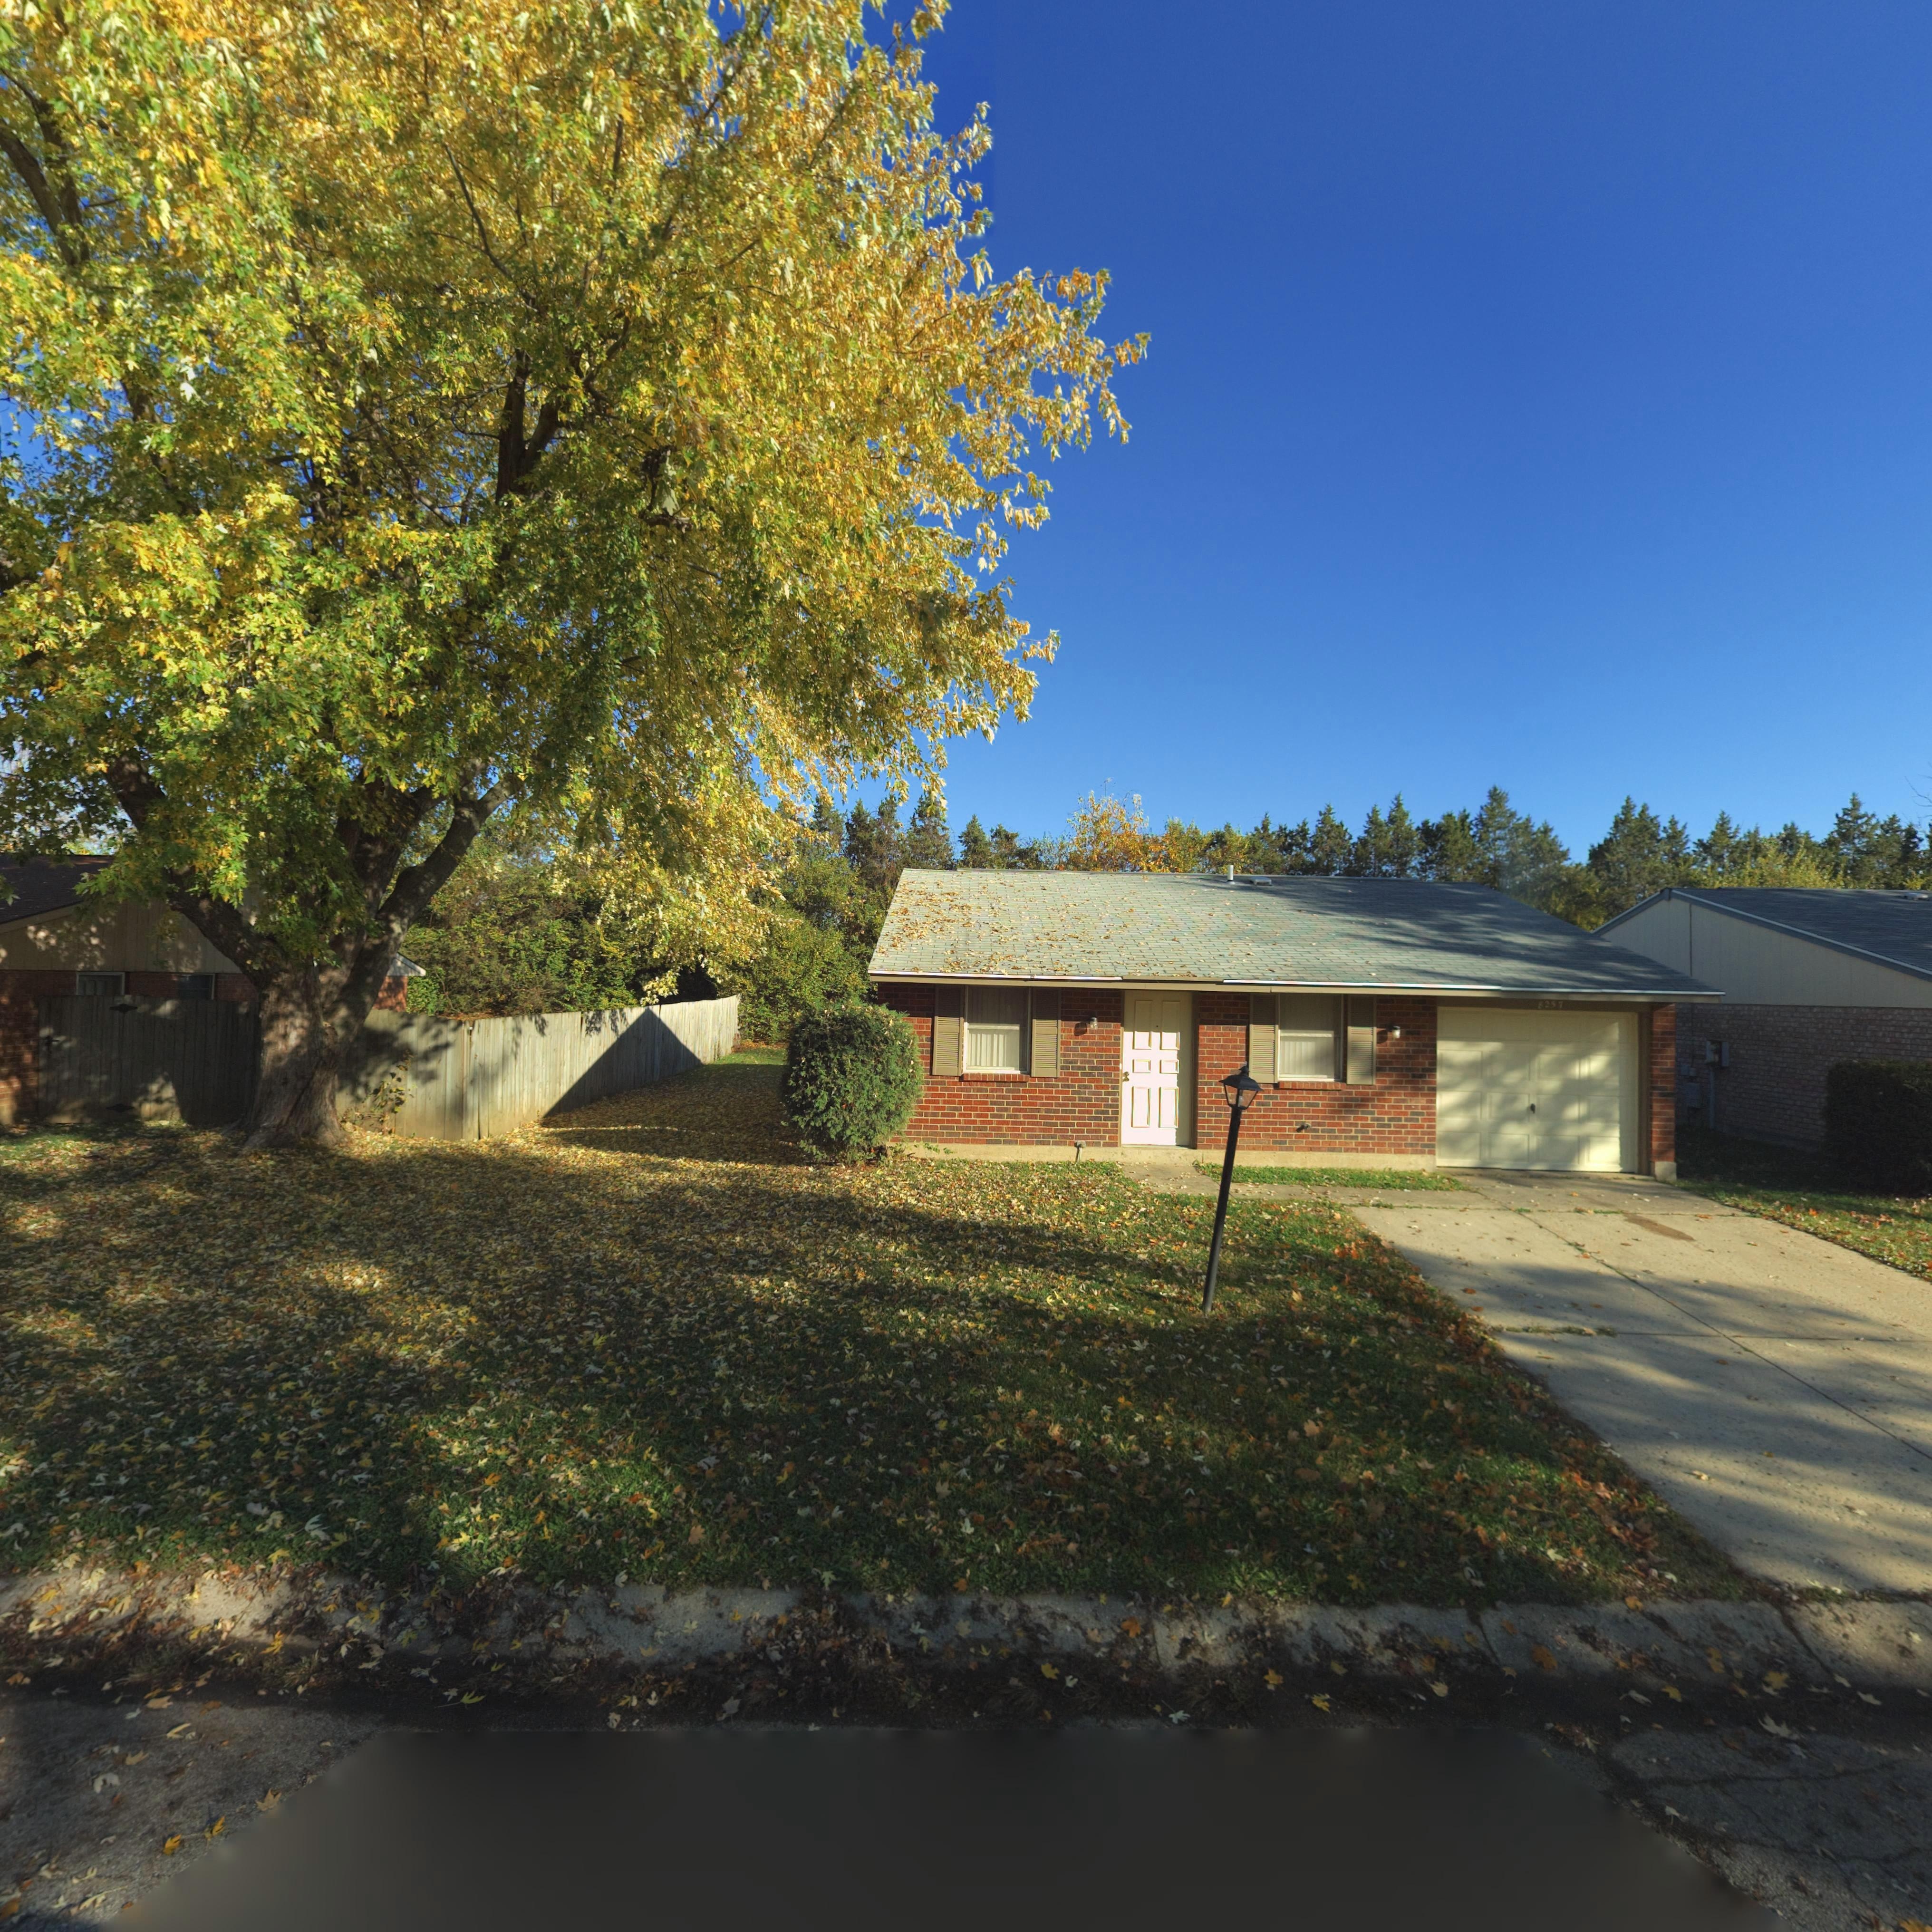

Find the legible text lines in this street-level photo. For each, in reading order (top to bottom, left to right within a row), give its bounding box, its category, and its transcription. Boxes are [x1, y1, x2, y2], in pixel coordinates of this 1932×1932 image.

[1536, 1000, 1565, 1010] StreetNumber: 8257